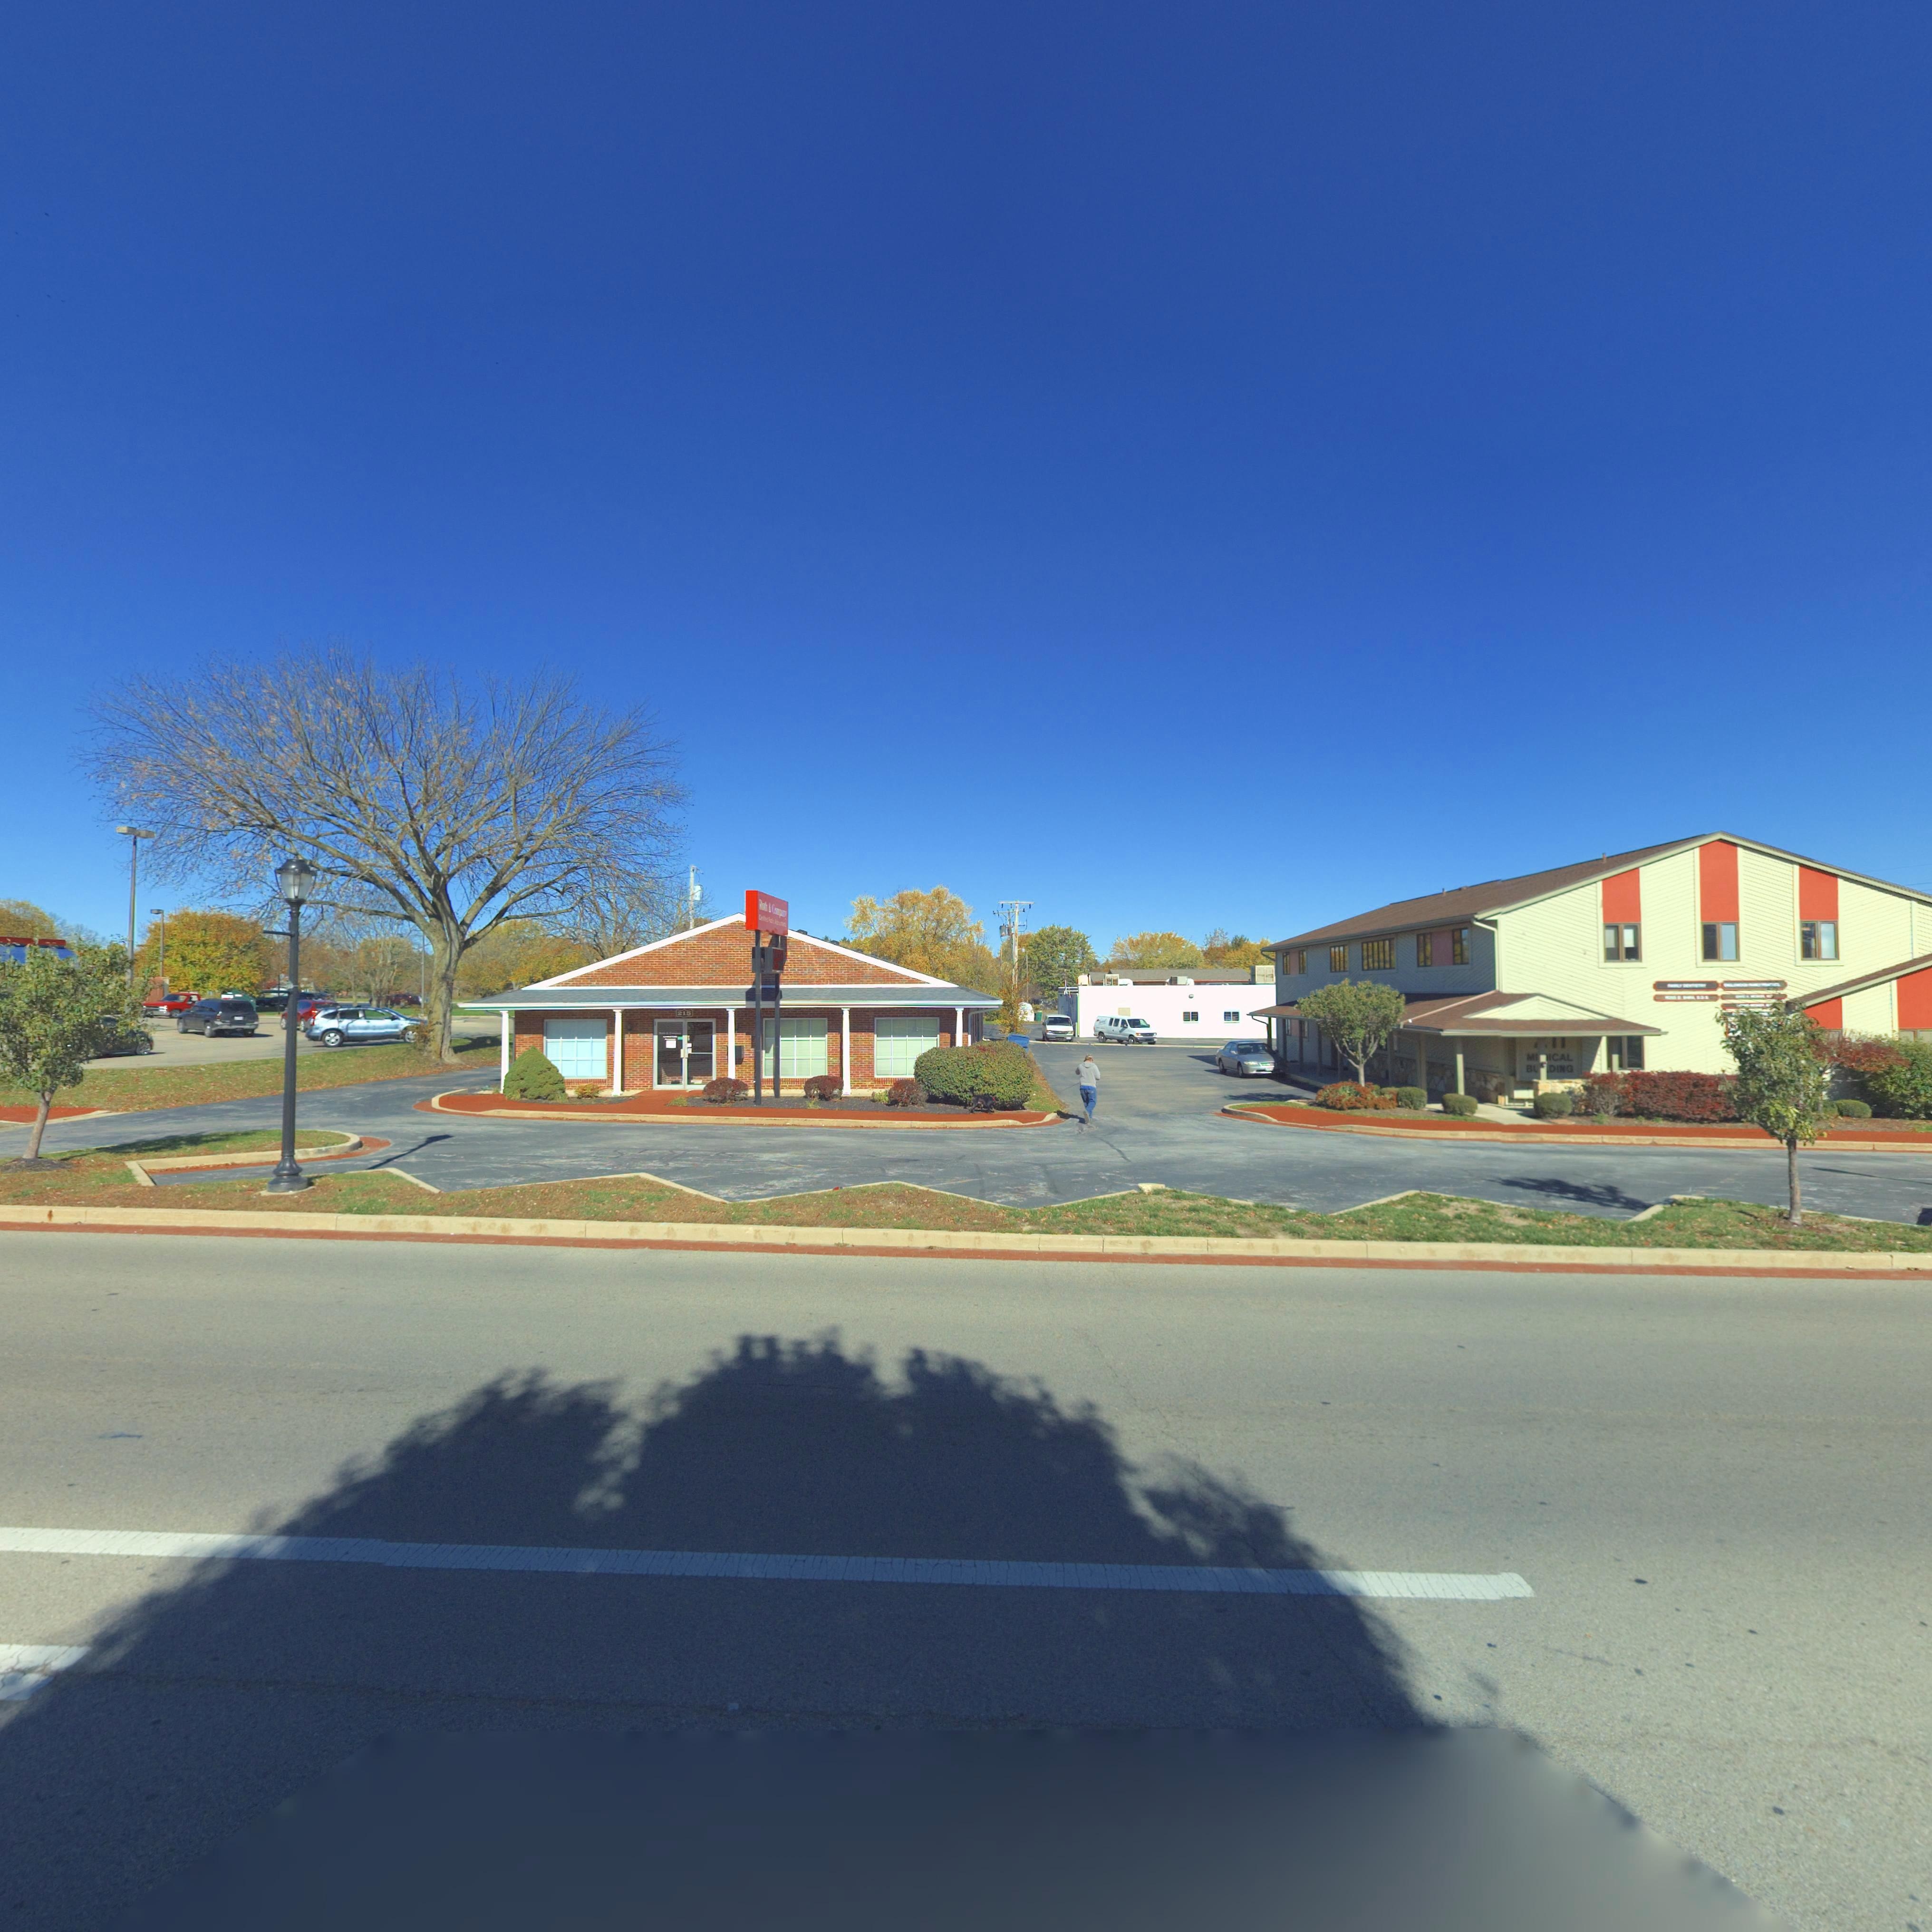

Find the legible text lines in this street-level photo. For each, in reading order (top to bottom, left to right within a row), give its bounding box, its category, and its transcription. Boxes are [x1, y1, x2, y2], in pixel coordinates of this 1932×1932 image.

[758, 898, 788, 921] BusinessName: Roth & Company
[677, 1011, 691, 1015] StreetNumber: 215
[1552, 1036, 1565, 1048] StreetNumber: 11
[1526, 1052, 1574, 1063] None: M**ICAL
[1525, 1064, 1574, 1073] None: B***DING